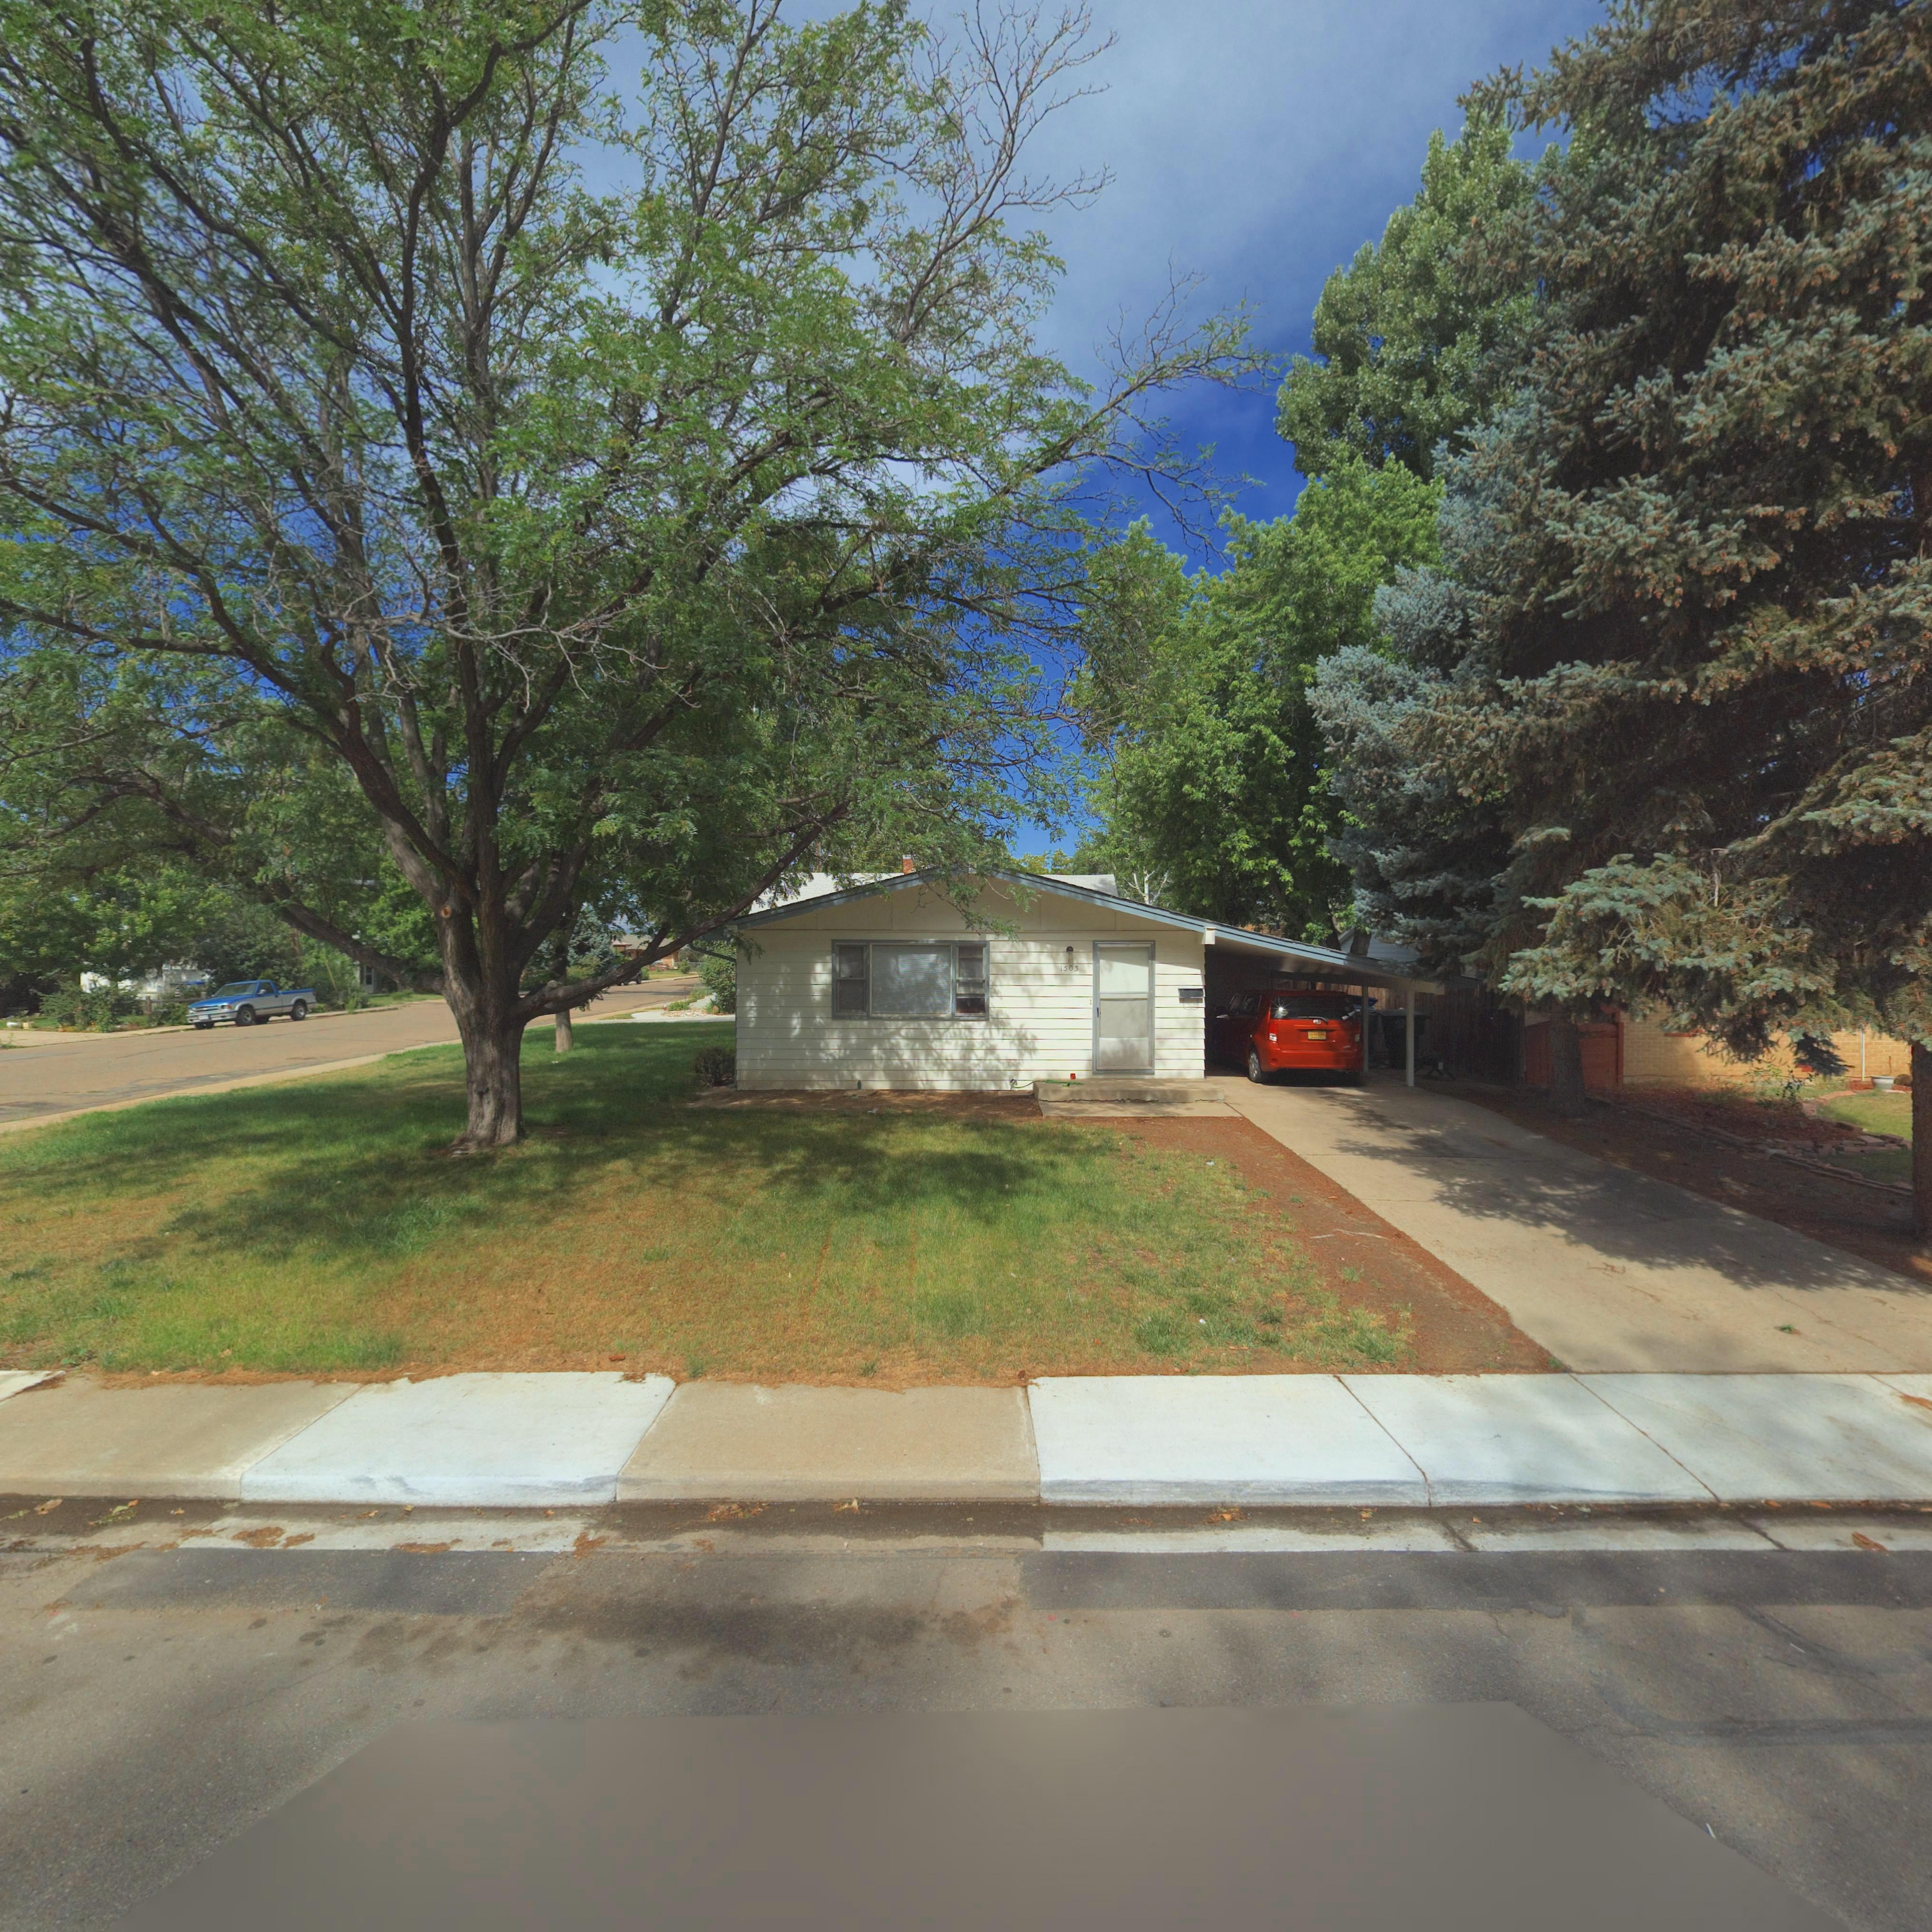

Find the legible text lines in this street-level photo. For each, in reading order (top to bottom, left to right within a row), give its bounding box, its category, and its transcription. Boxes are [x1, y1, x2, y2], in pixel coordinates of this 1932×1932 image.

[1060, 965, 1079, 971] StreetNumber: 1503